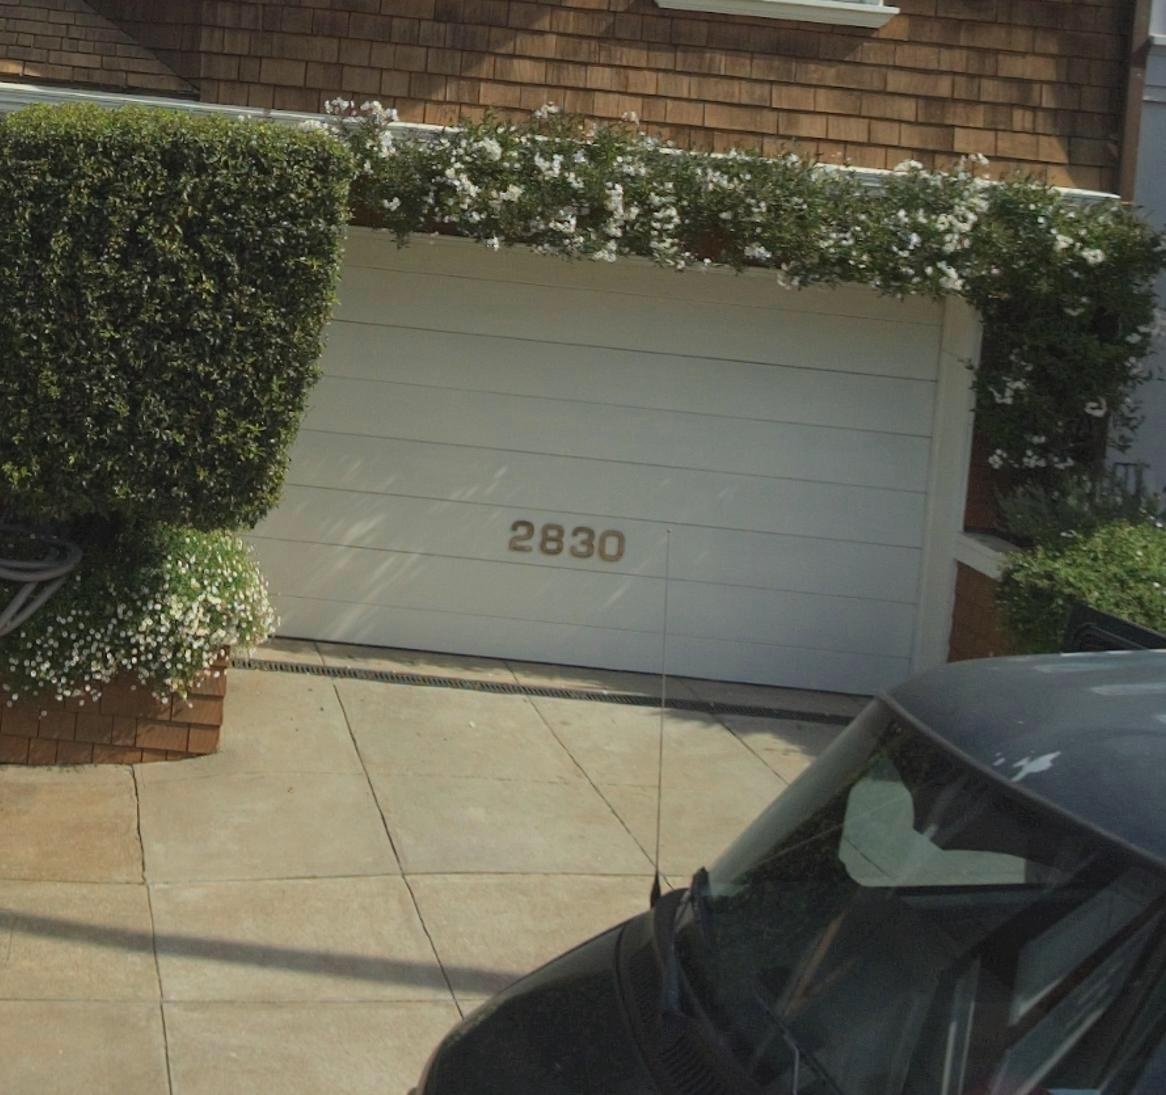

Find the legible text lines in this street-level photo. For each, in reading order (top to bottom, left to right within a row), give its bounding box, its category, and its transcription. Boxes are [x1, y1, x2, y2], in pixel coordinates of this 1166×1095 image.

[505, 516, 628, 566] StreetNumber: 2830